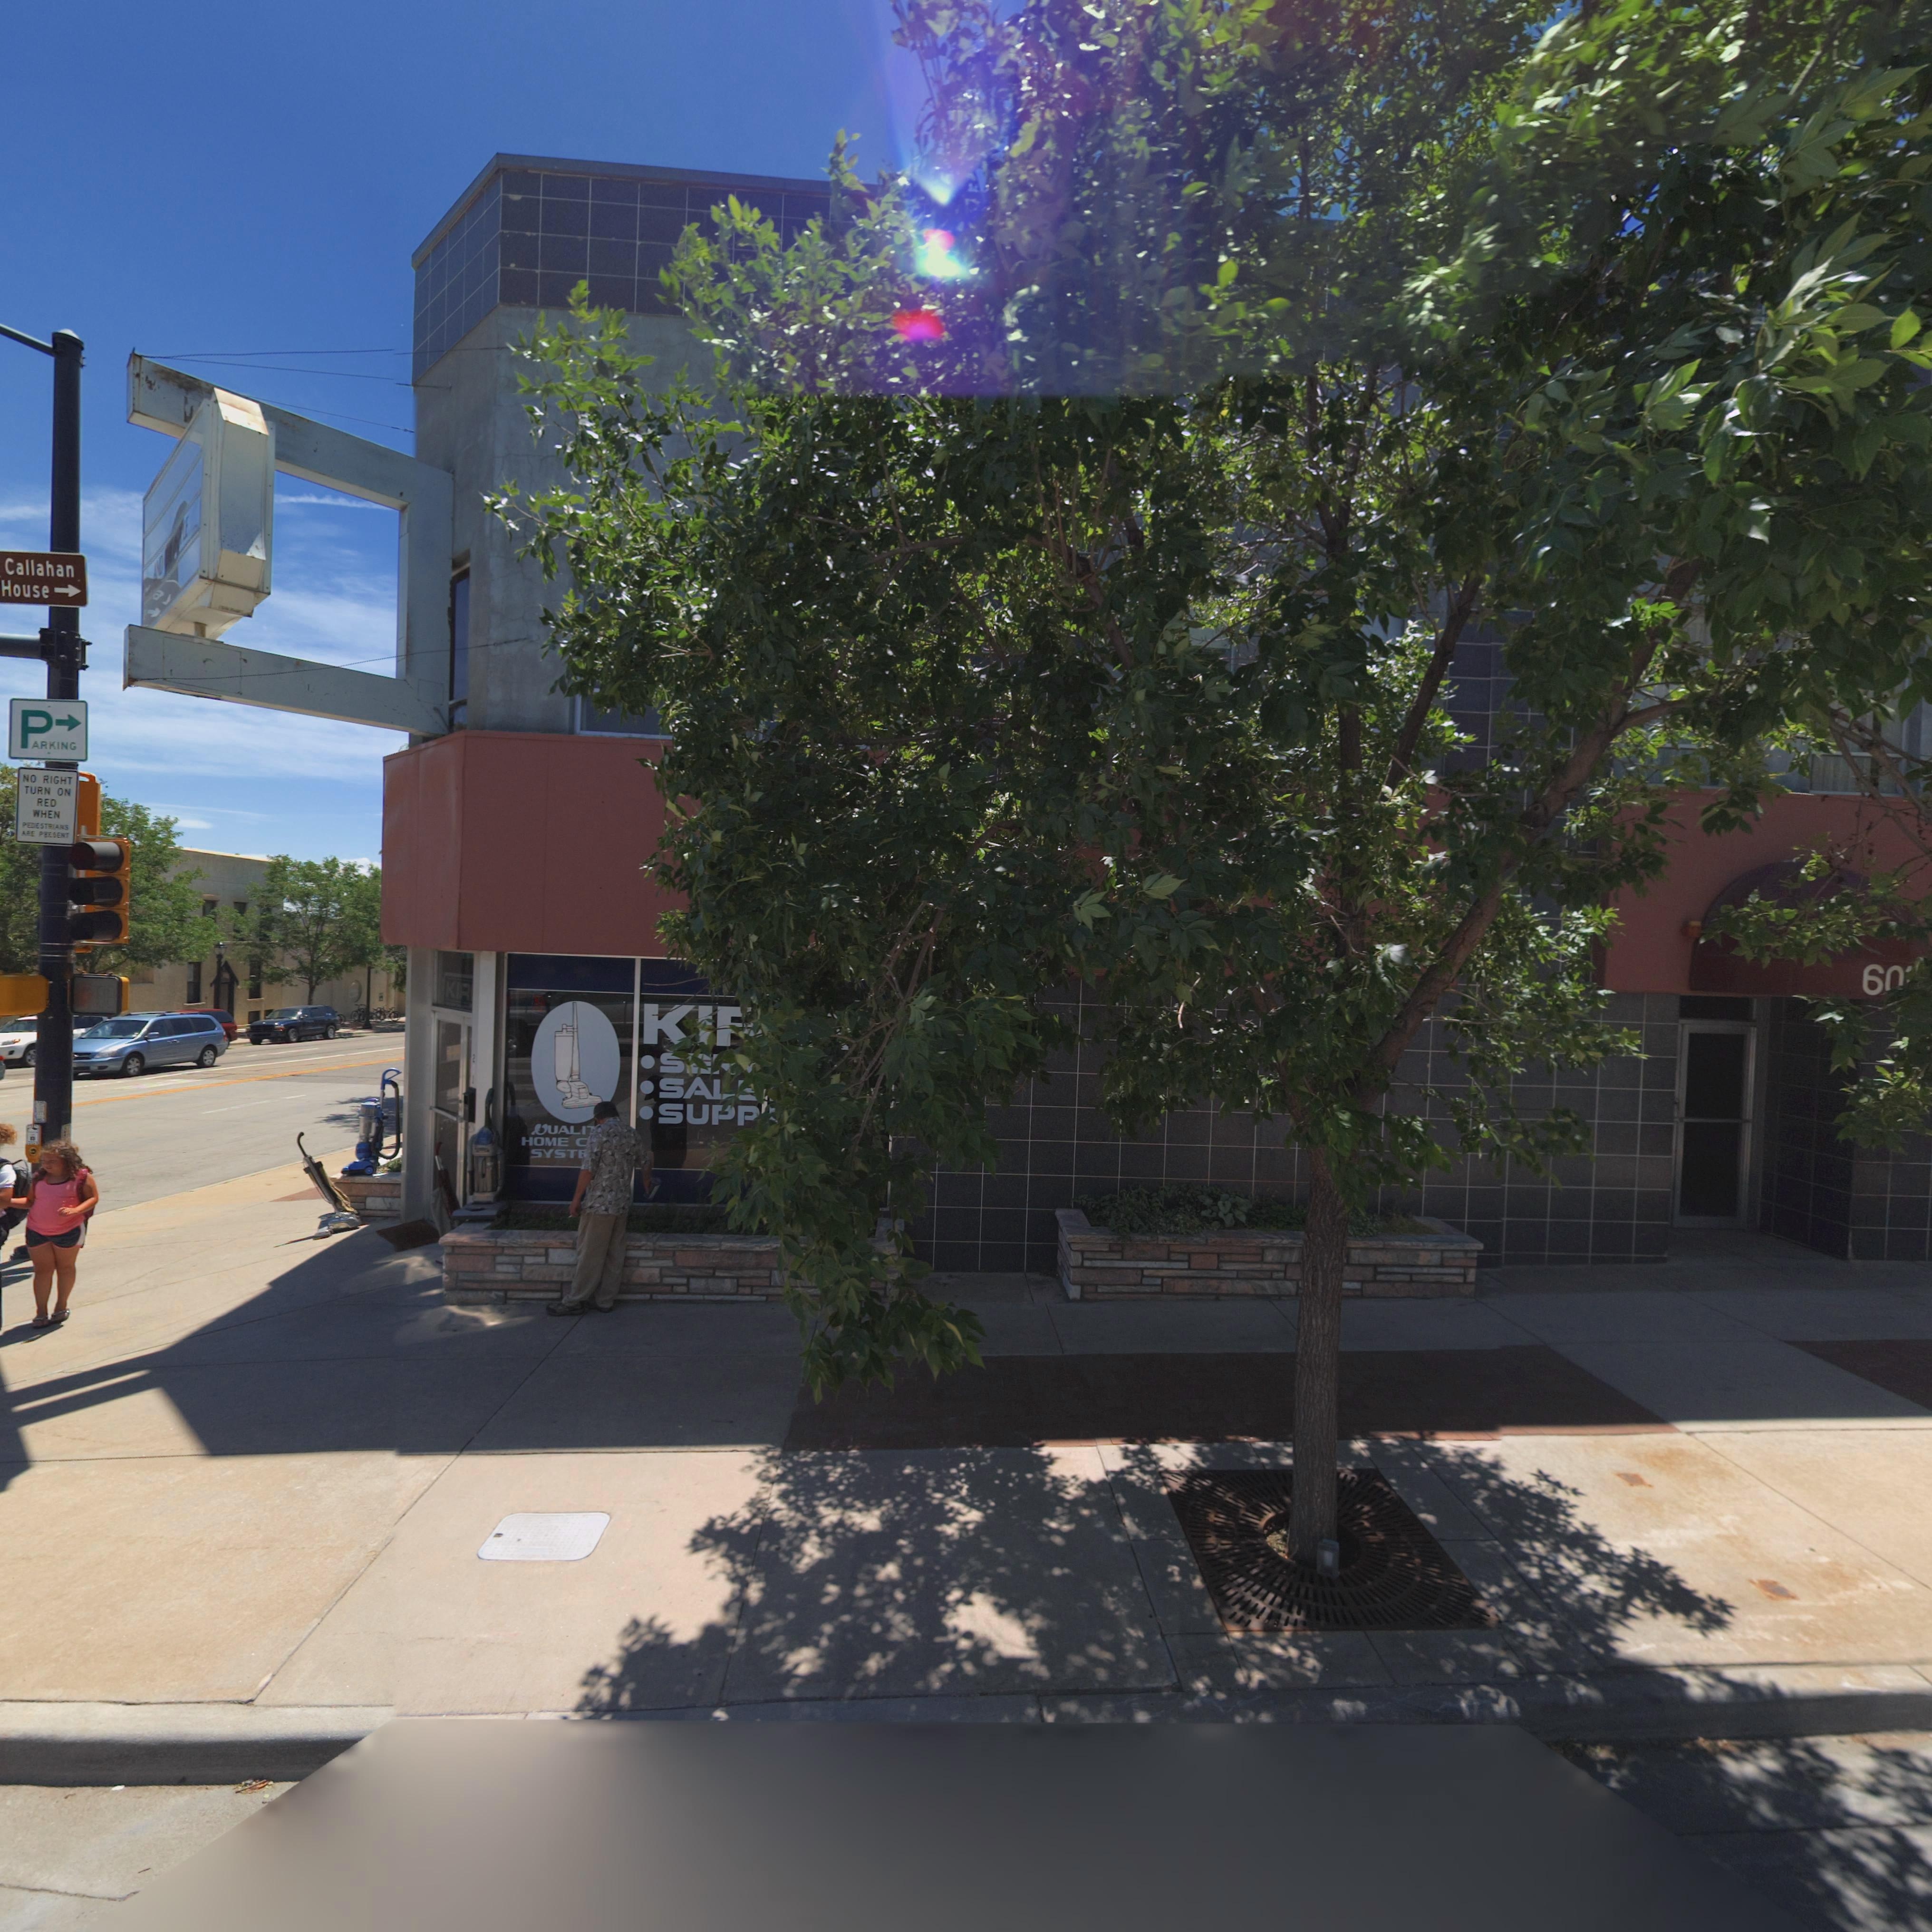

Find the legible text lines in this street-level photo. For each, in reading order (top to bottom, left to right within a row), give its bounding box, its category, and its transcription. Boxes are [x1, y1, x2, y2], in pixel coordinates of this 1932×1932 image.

[444, 980, 472, 1003] BusinessName: KIR**
[1863, 964, 1913, 996] StreetNumber: 60*
[642, 1003, 764, 1049] BusinessName: KI*